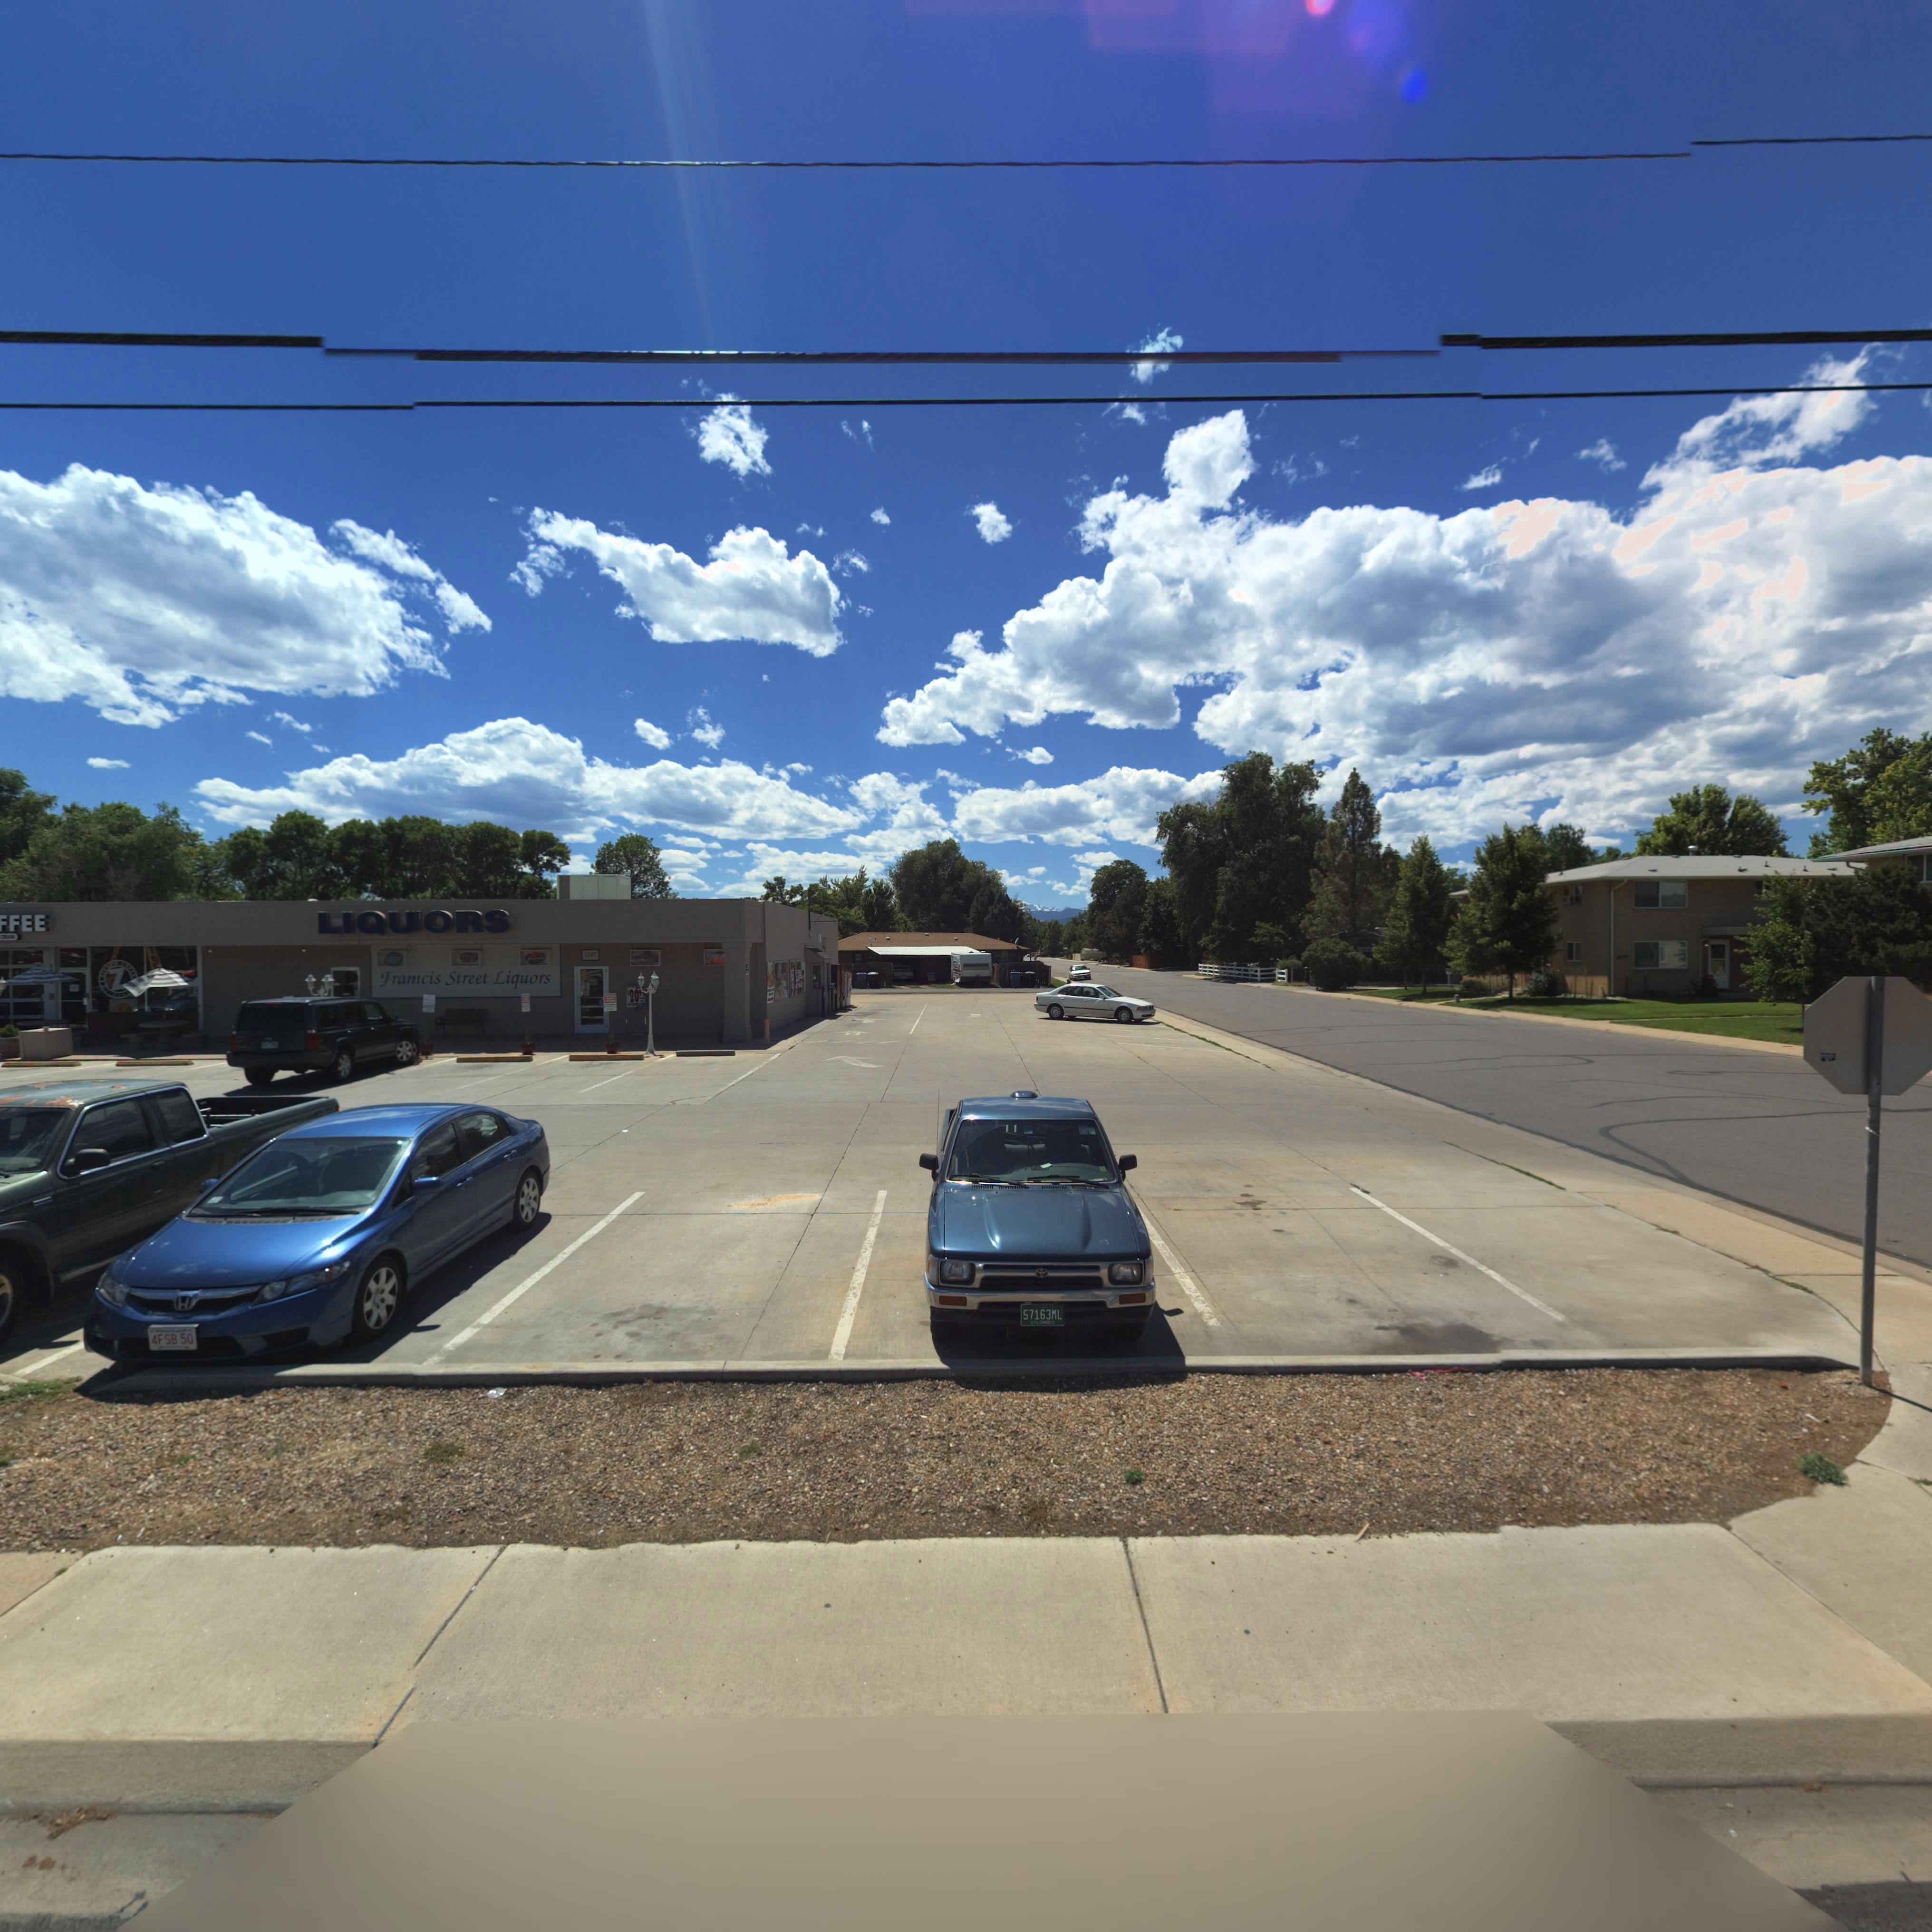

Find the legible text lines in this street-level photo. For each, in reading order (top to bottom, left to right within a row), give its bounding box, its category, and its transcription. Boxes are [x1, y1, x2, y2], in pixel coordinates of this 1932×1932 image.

[8, 914, 47, 933] BusinessName: FEE
[584, 951, 598, 957] StreetNumber: 1147
[377, 968, 553, 990] BusinessName: Francis Street Liquors